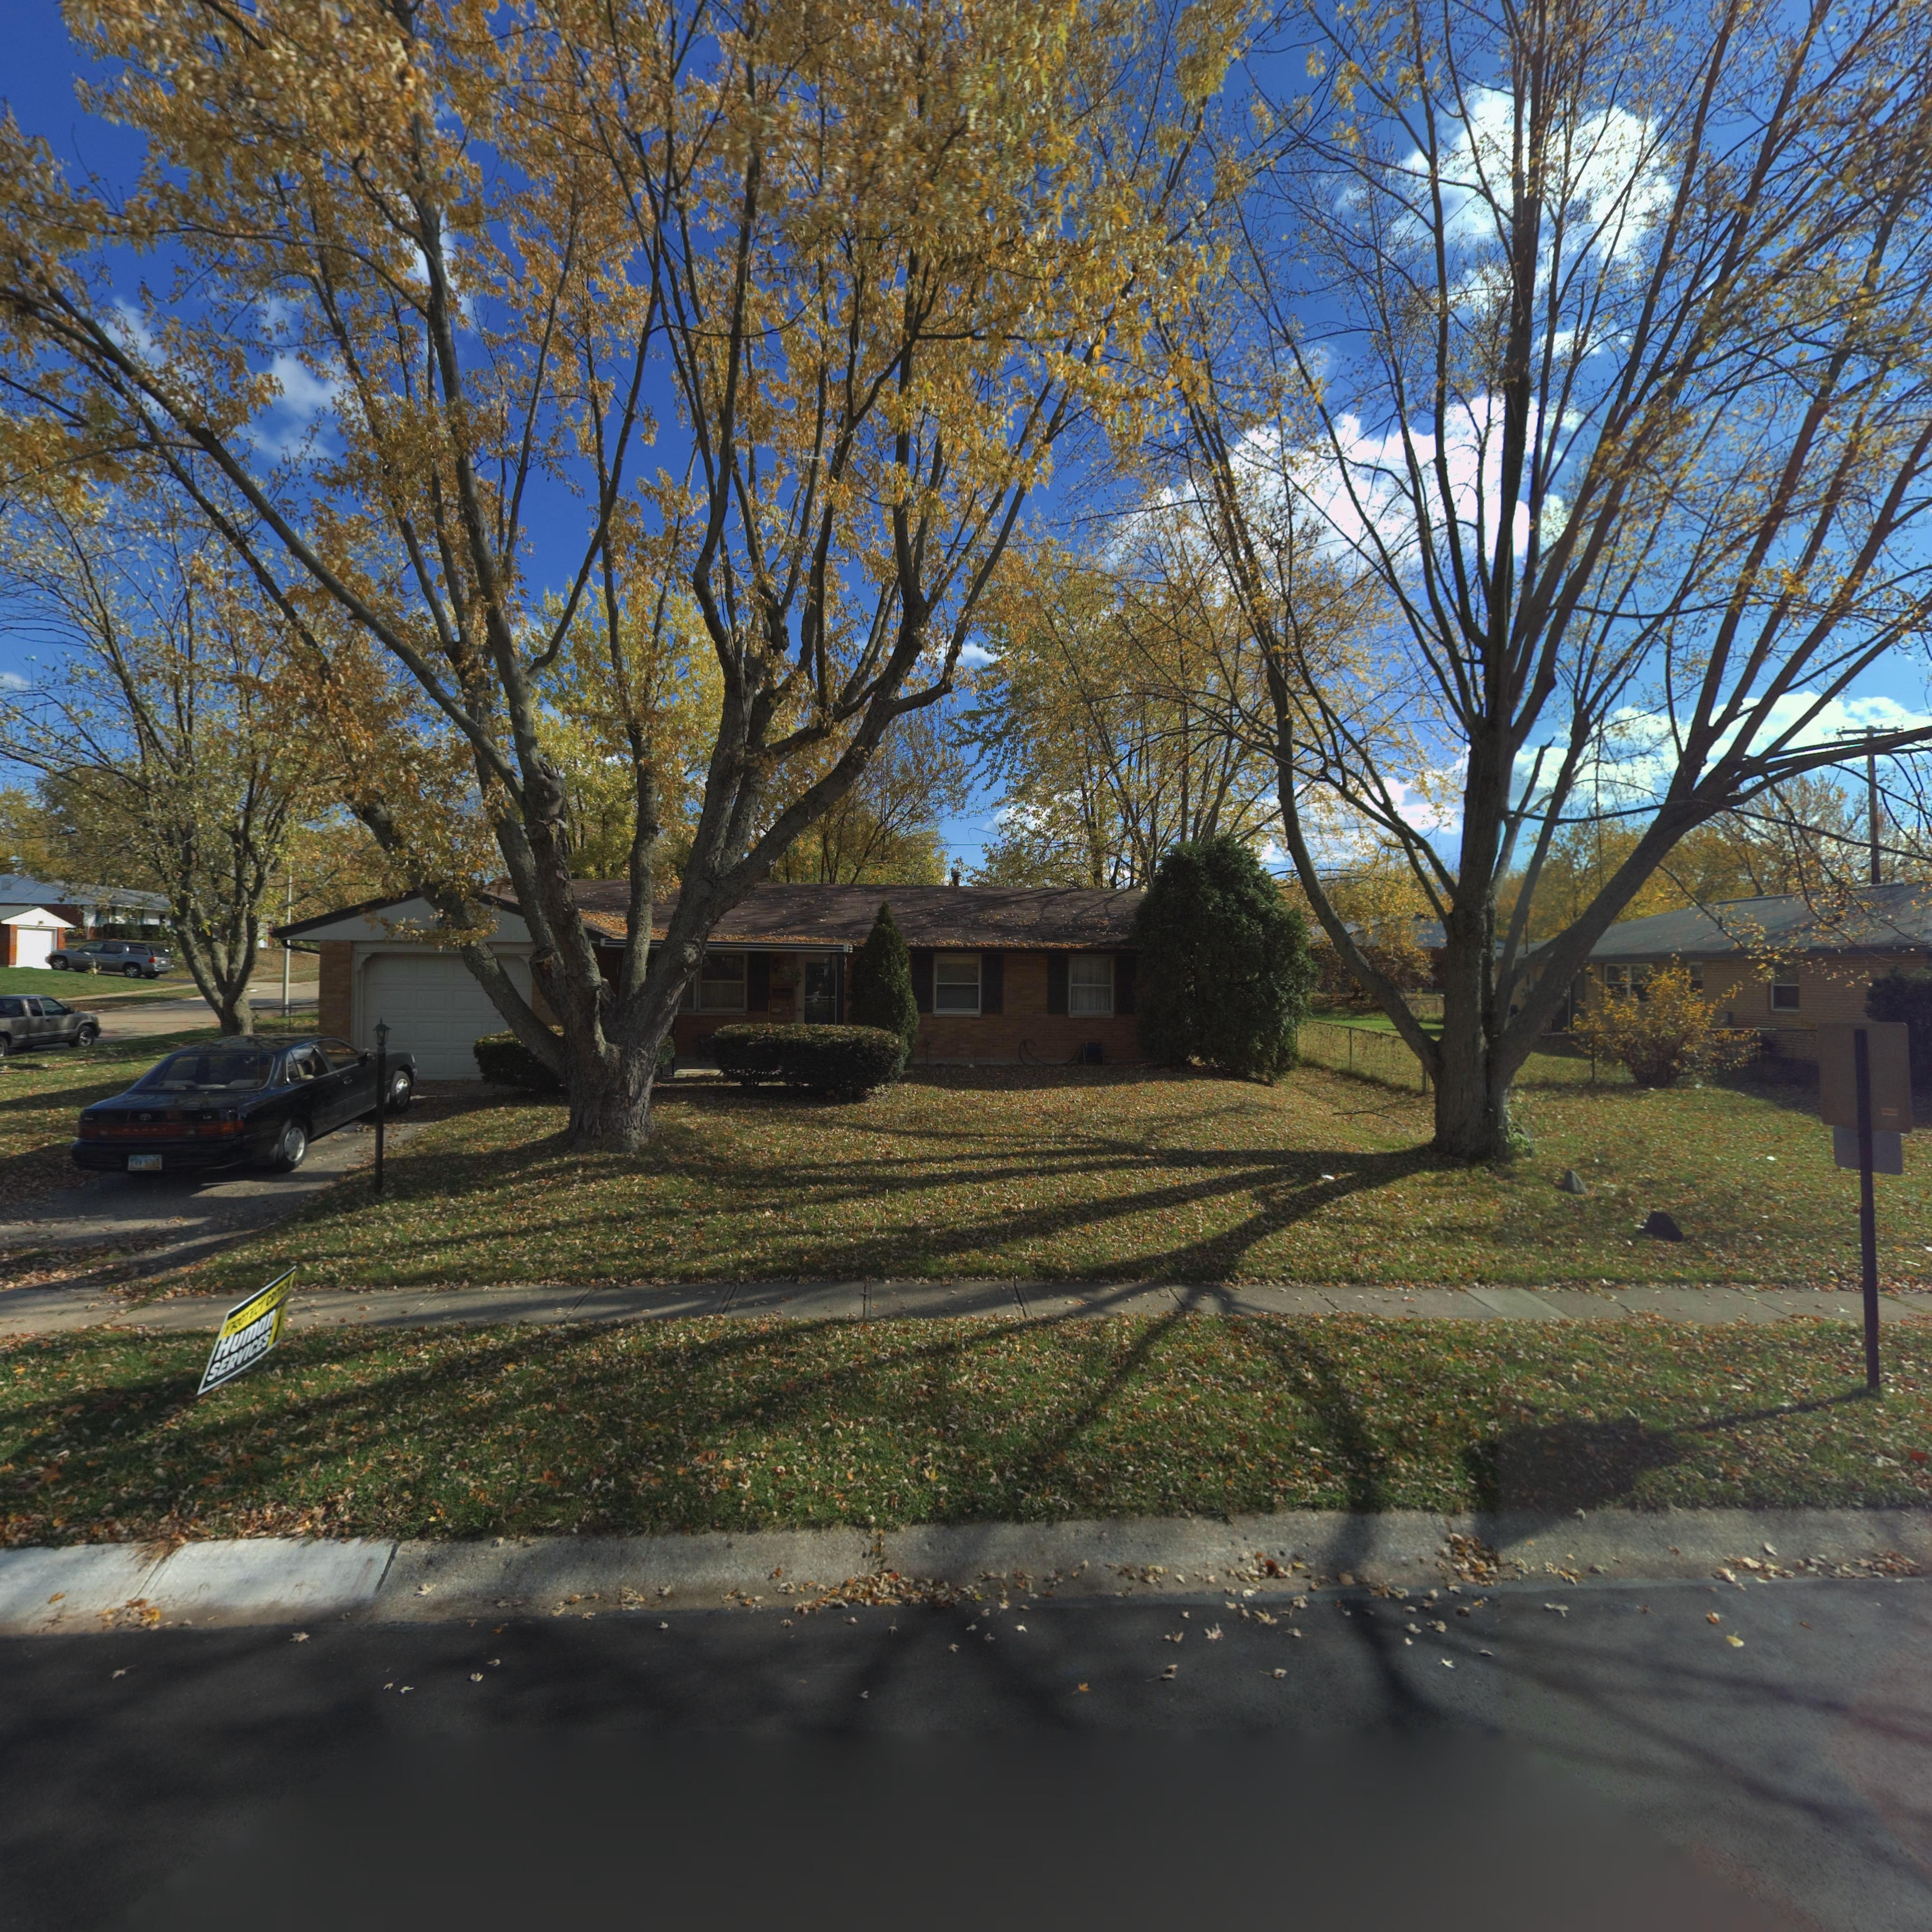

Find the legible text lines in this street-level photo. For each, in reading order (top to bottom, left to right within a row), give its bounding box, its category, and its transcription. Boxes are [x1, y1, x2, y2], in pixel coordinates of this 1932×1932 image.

[446, 943, 452, 950] StreetNumber: 0